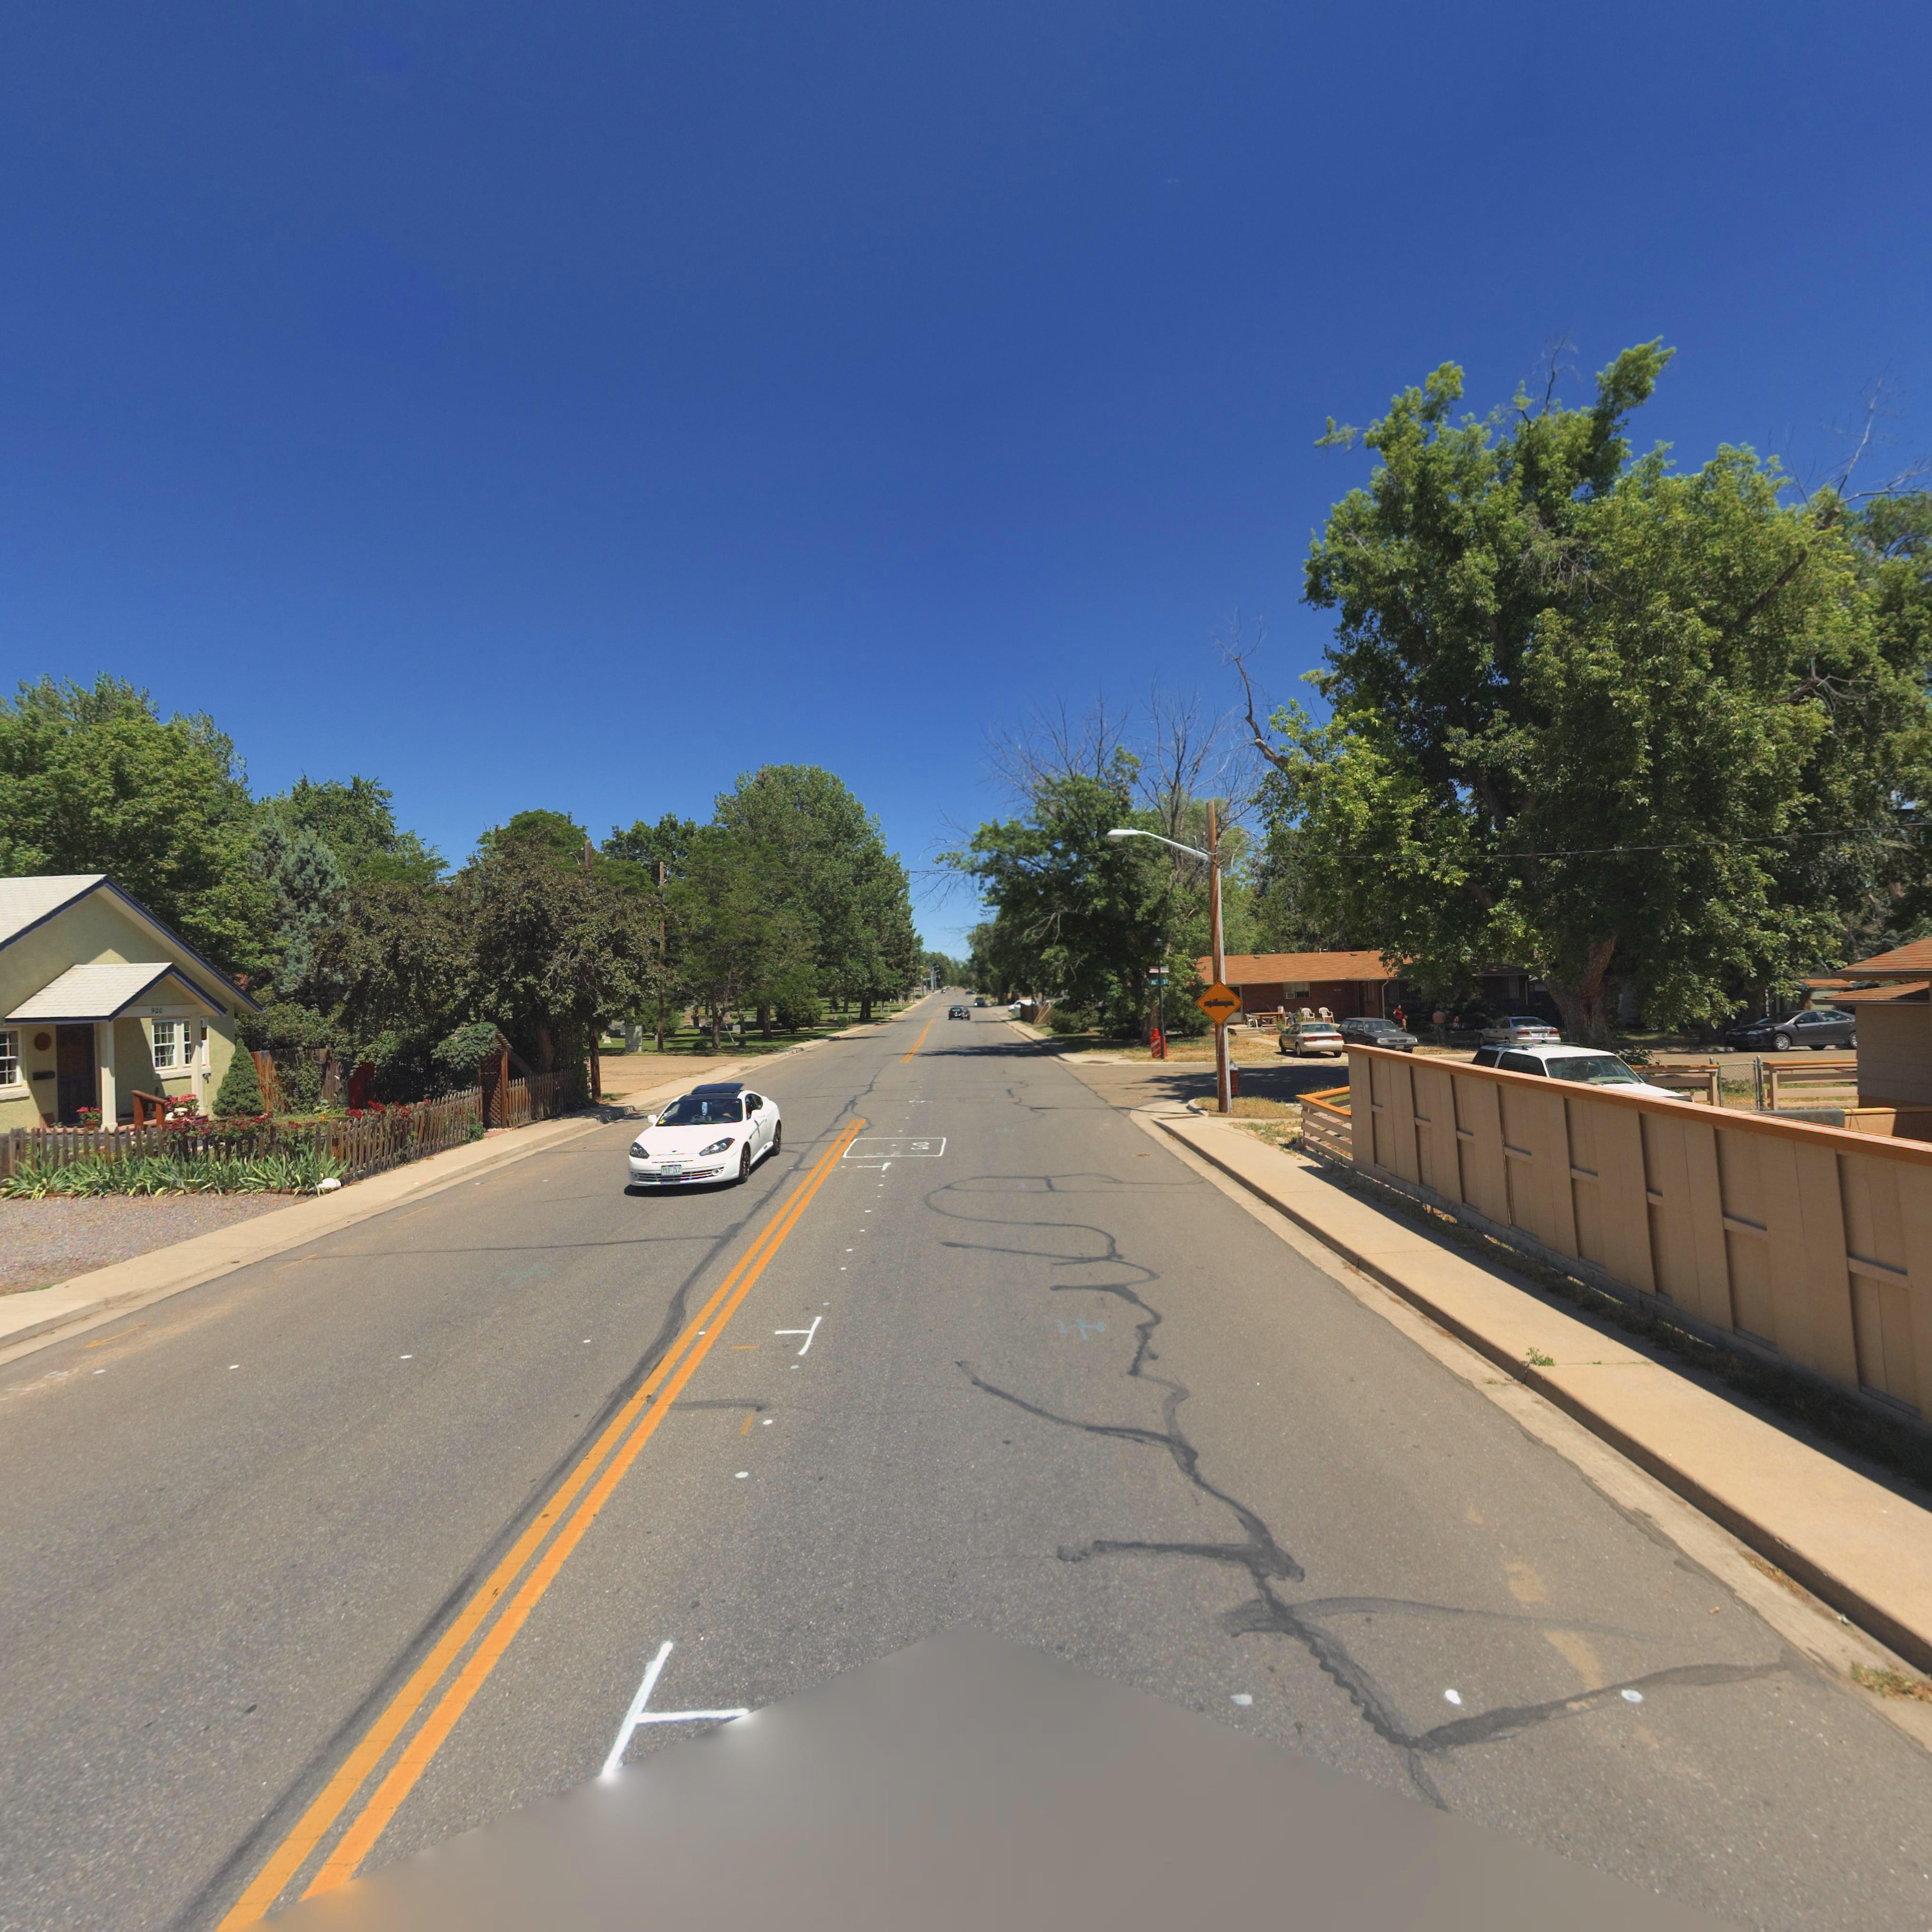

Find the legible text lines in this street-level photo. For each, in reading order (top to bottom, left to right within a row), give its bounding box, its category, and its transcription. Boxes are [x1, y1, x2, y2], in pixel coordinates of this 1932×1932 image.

[1150, 979, 1168, 985] StreetName: ALL*** ST
[150, 1007, 163, 1014] StreetNumber: 920